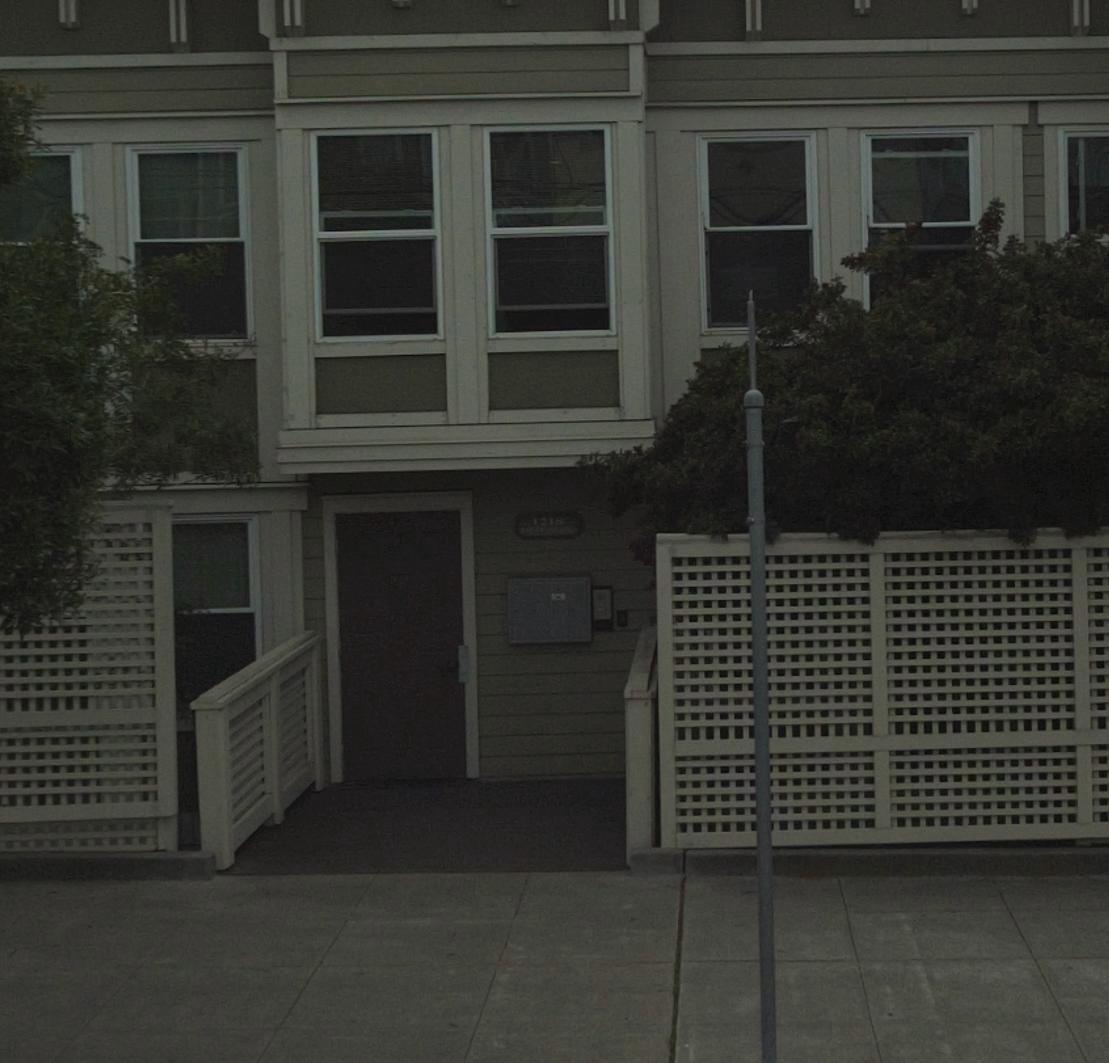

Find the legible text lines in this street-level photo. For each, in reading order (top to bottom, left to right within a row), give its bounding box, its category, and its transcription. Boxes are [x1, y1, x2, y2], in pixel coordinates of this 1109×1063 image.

[531, 516, 565, 526] StreetNumber: 1218